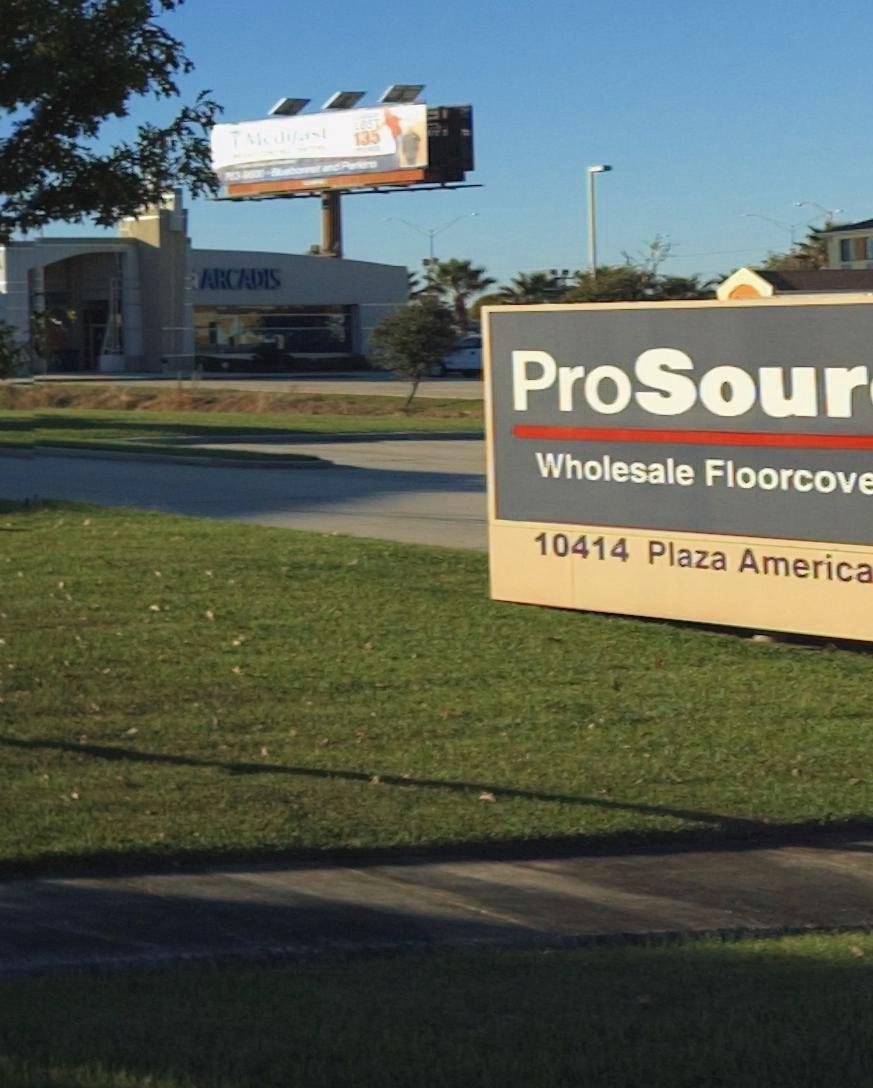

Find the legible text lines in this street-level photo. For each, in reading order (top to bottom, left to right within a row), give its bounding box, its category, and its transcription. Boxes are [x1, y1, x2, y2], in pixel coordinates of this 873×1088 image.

[351, 127, 382, 150] None: 135
[370, 117, 383, 131] None: T
[198, 265, 285, 293] BusinessName: ARCADIS
[509, 344, 870, 423] BusinessName: ProSour
[531, 450, 861, 497] BusinessName: Wholesale Floorcov
[530, 528, 632, 565] StreetNumber: 10414
[646, 535, 873, 586] None: Plaza America